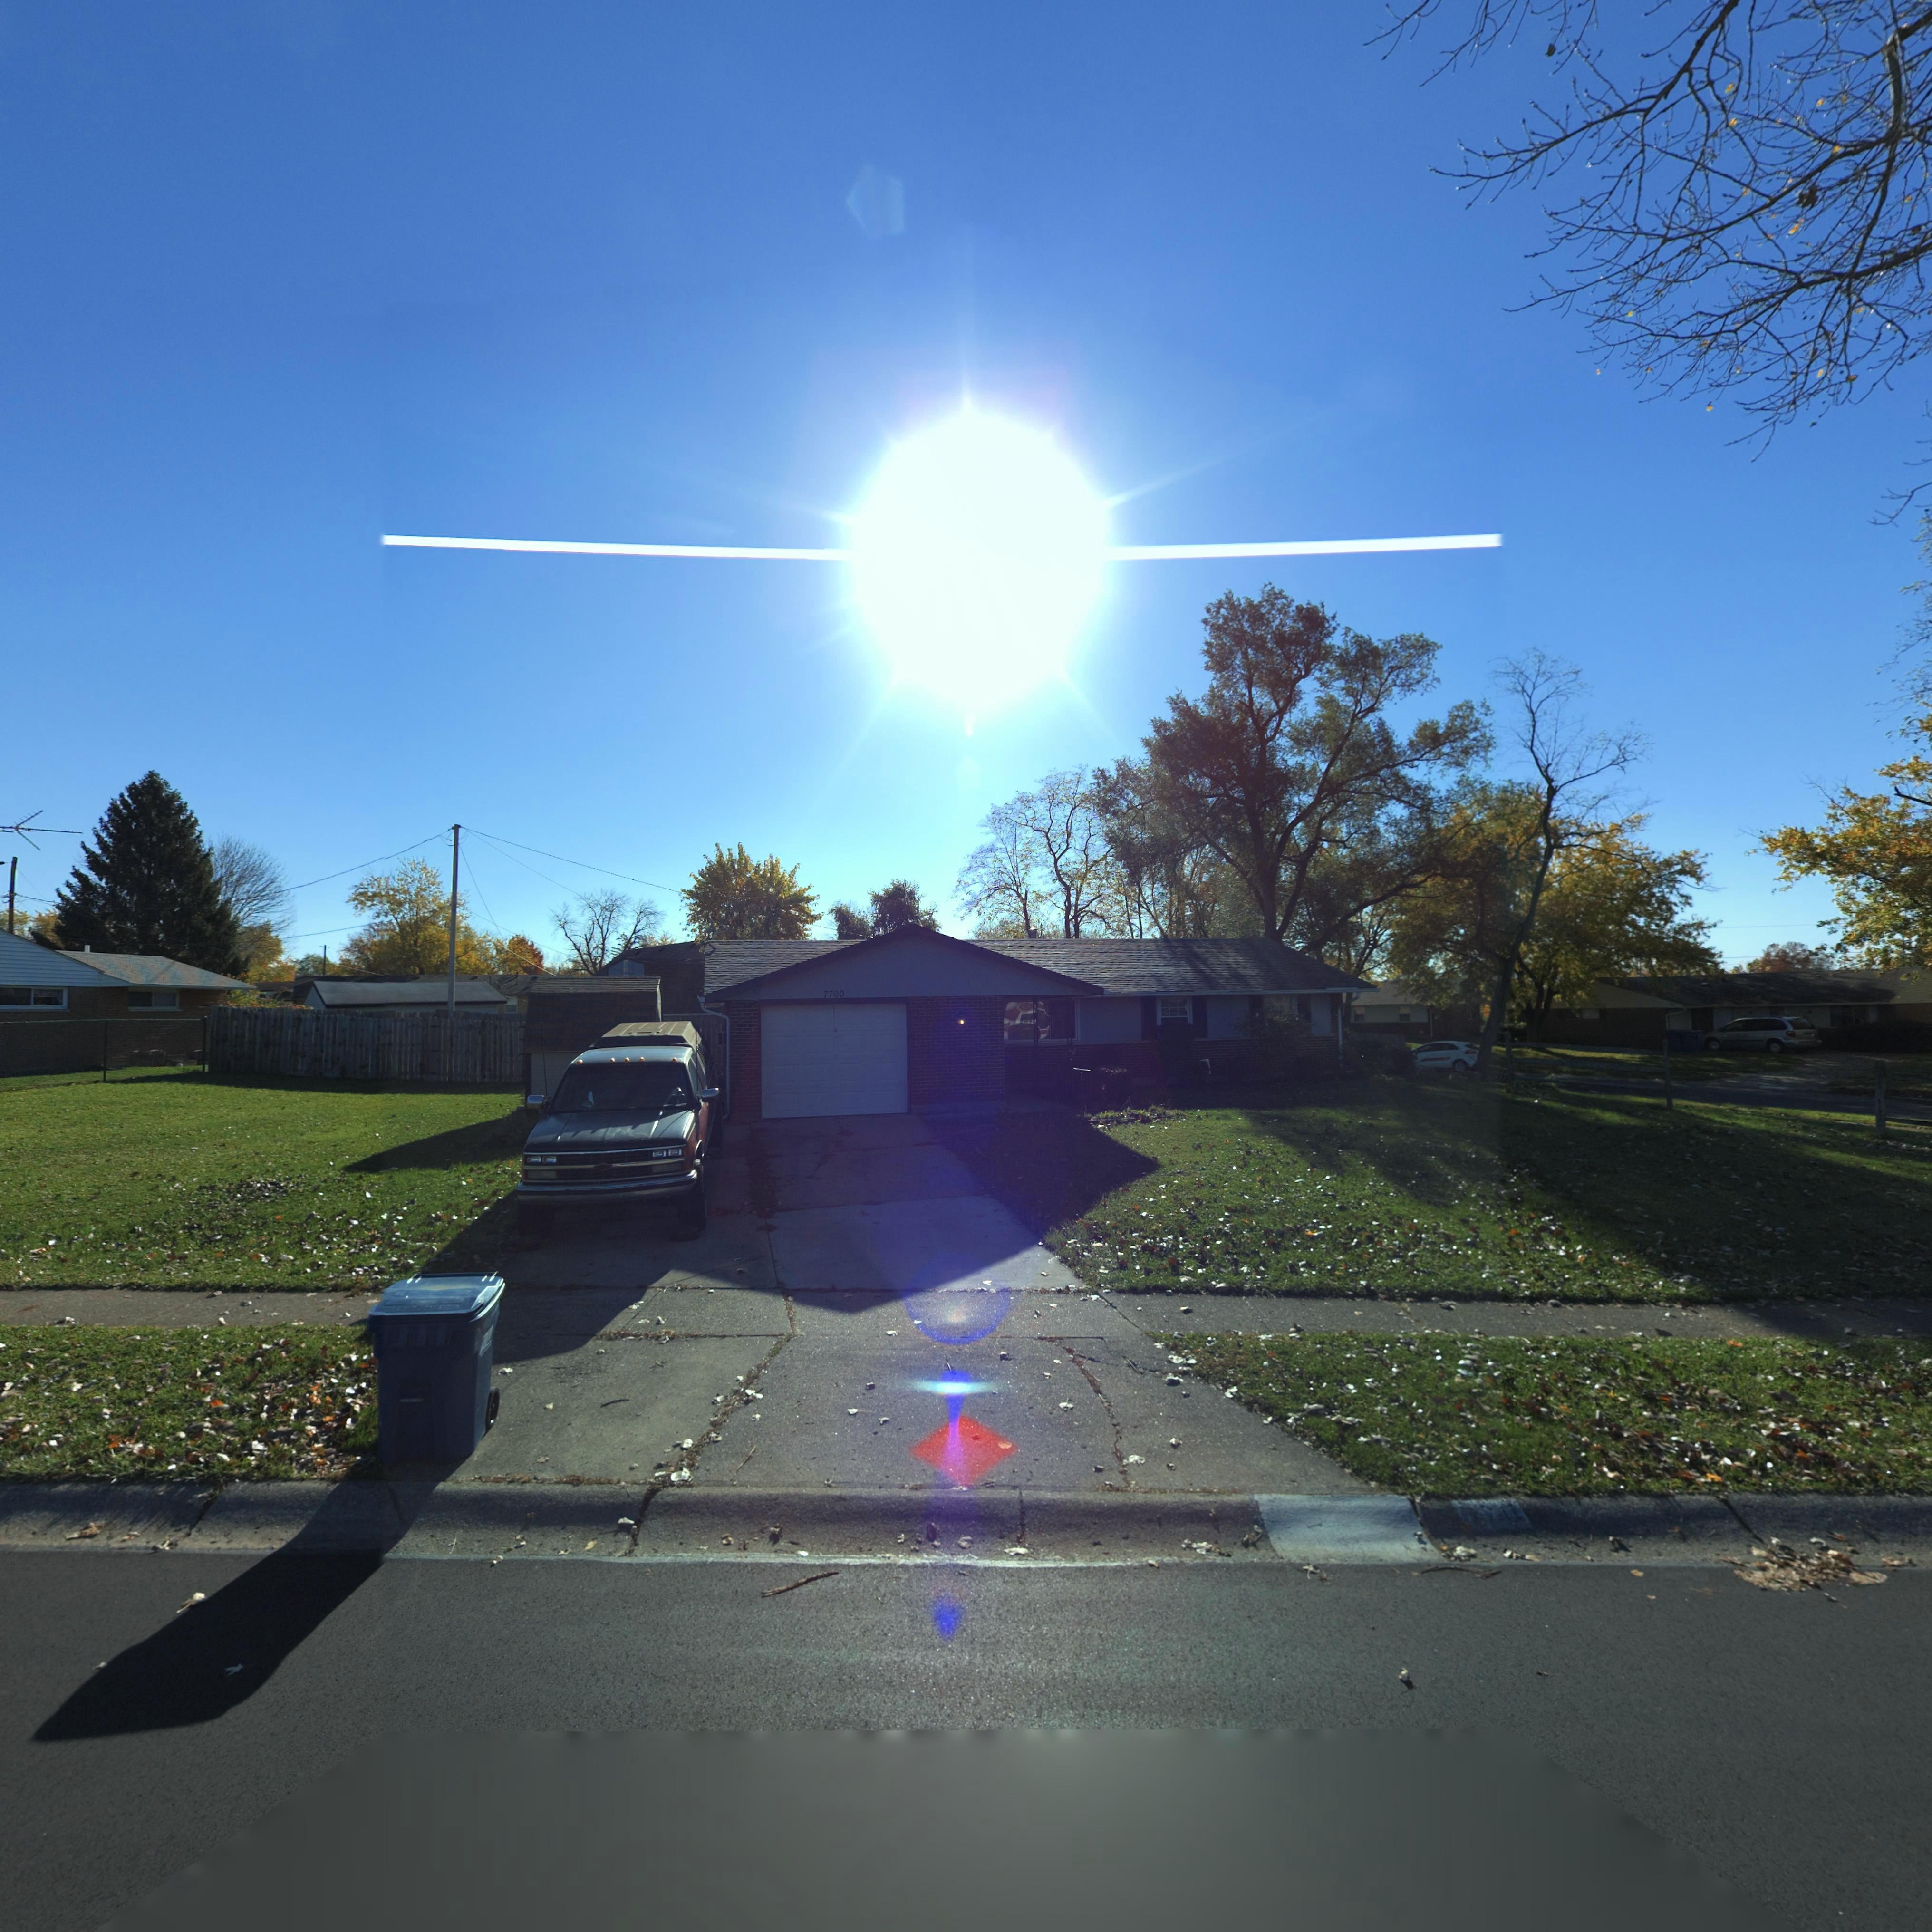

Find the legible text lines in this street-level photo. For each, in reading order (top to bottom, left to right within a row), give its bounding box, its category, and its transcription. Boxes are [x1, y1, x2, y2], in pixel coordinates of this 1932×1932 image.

[822, 989, 846, 999] StreetNumber: 7700